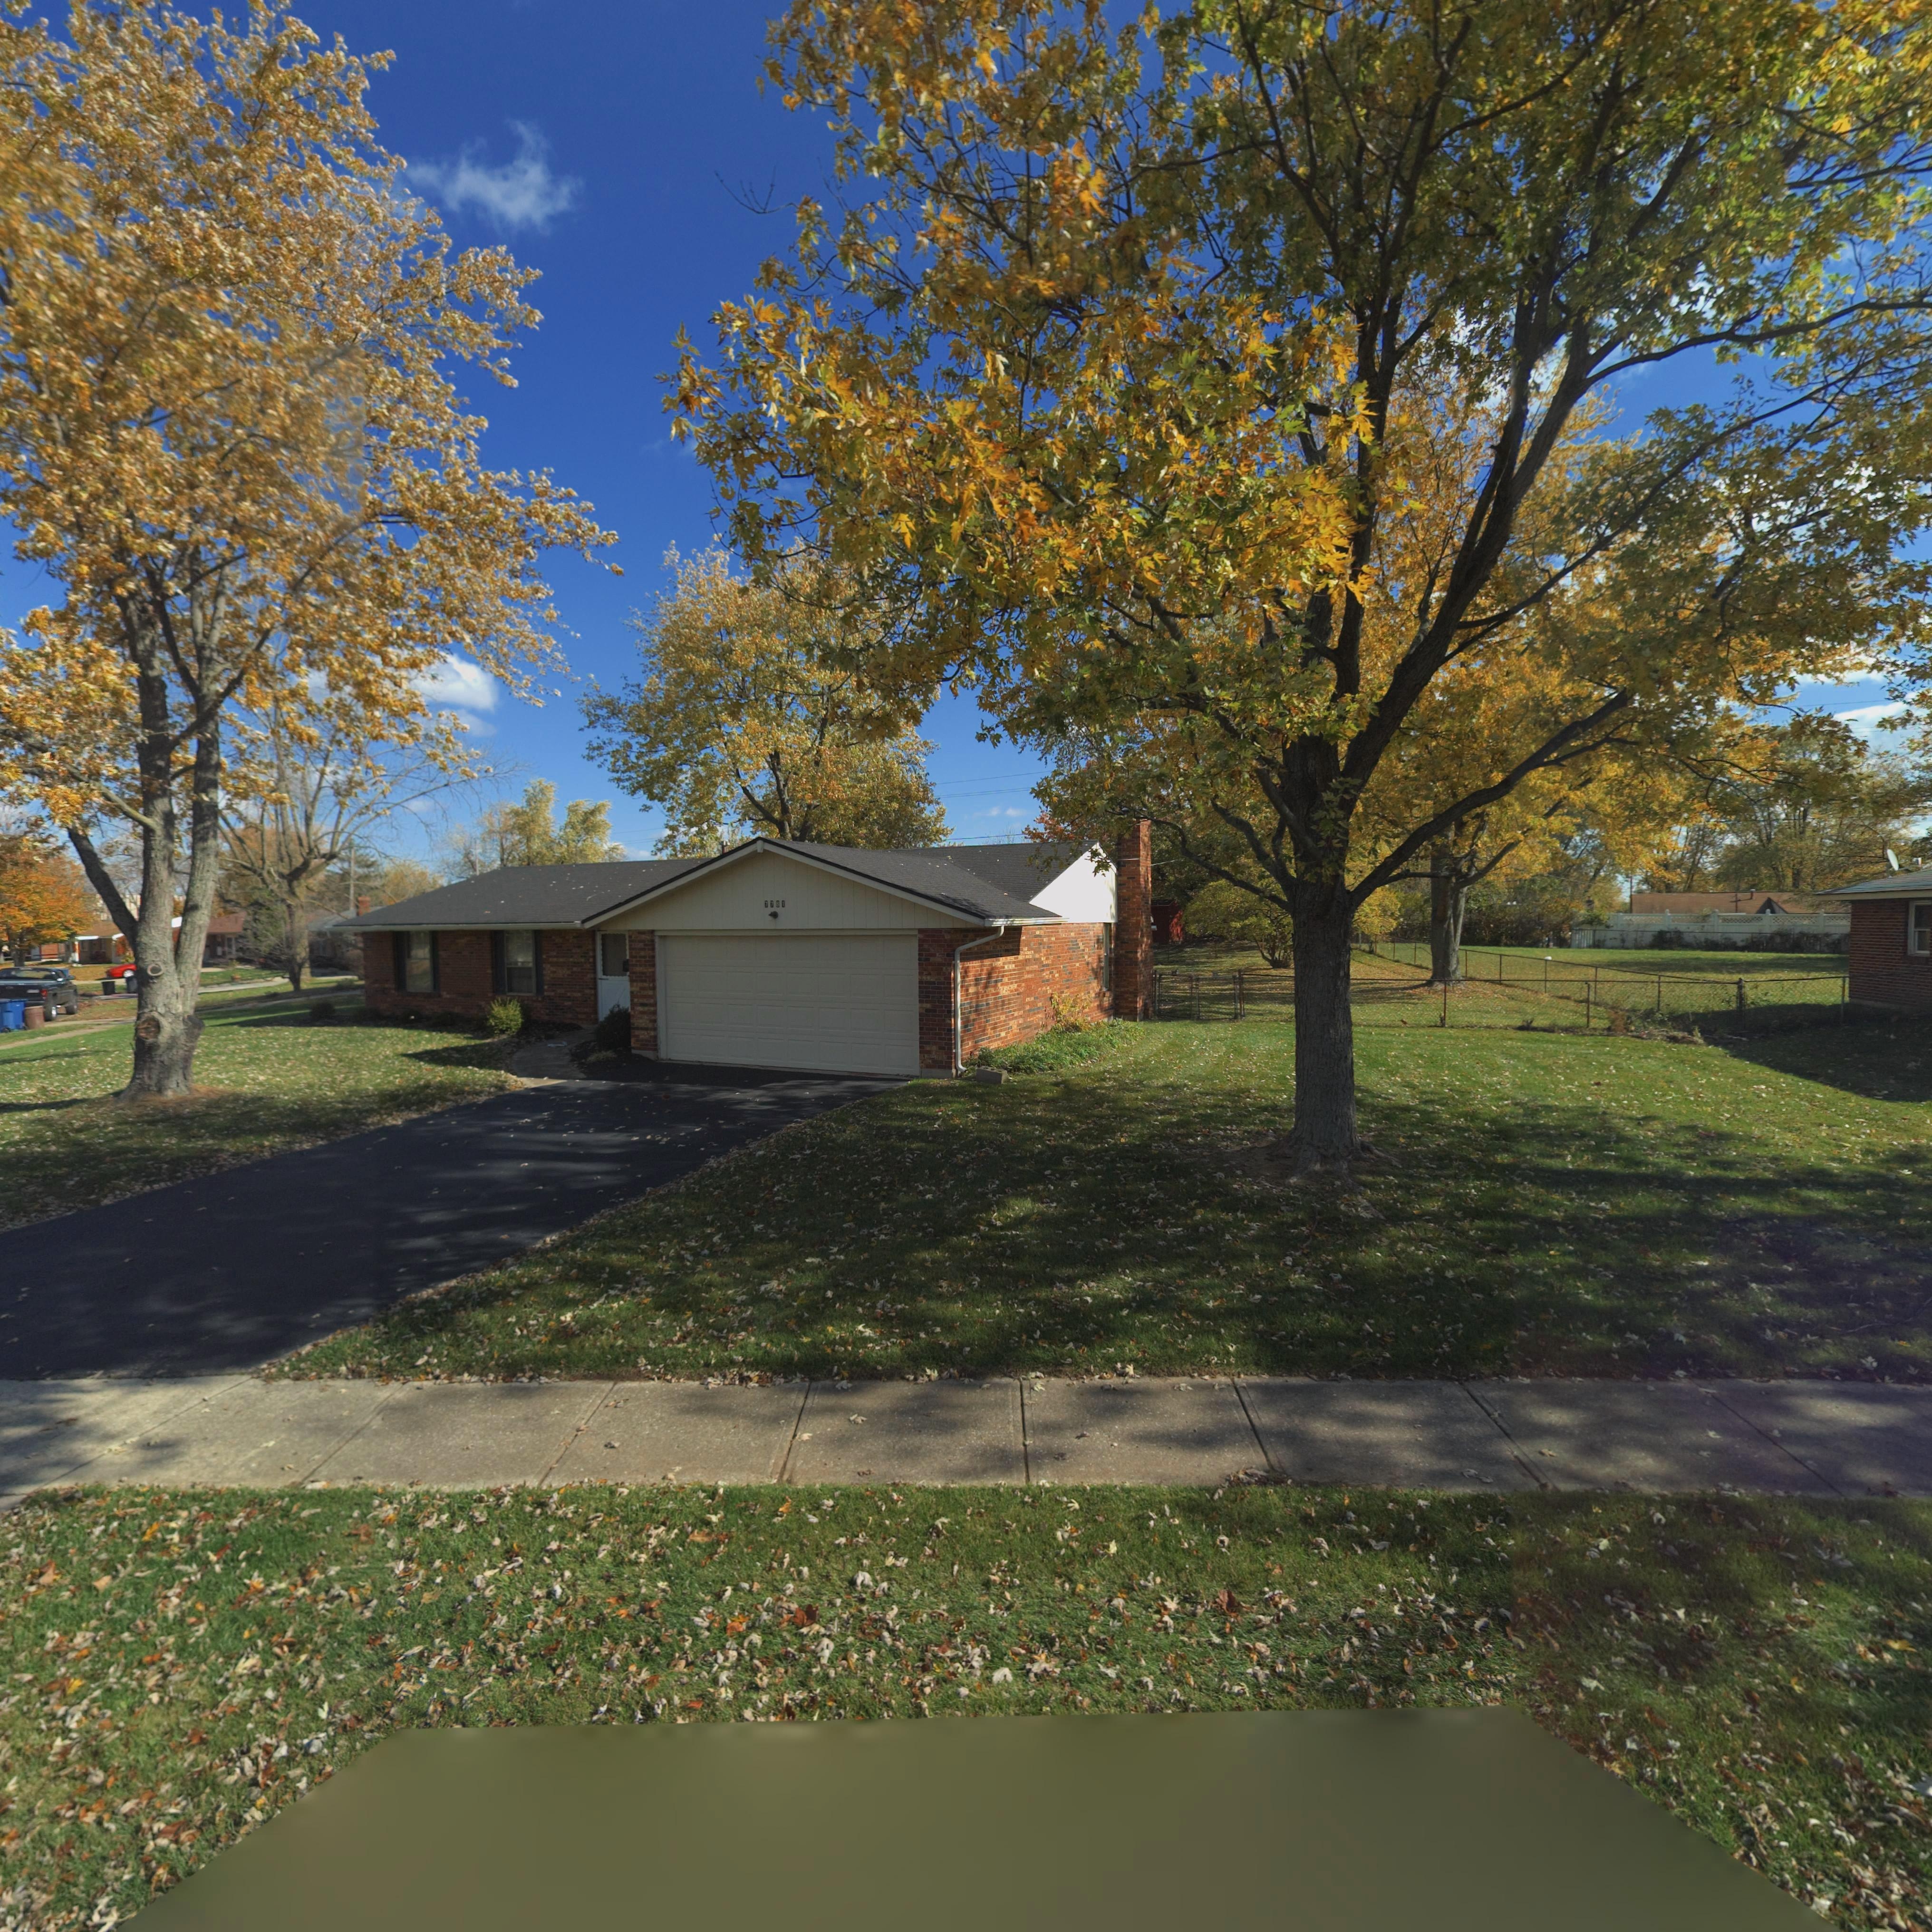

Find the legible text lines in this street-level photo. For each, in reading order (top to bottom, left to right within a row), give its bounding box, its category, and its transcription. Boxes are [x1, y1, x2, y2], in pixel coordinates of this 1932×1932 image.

[764, 900, 785, 908] StreetNumber: 7781